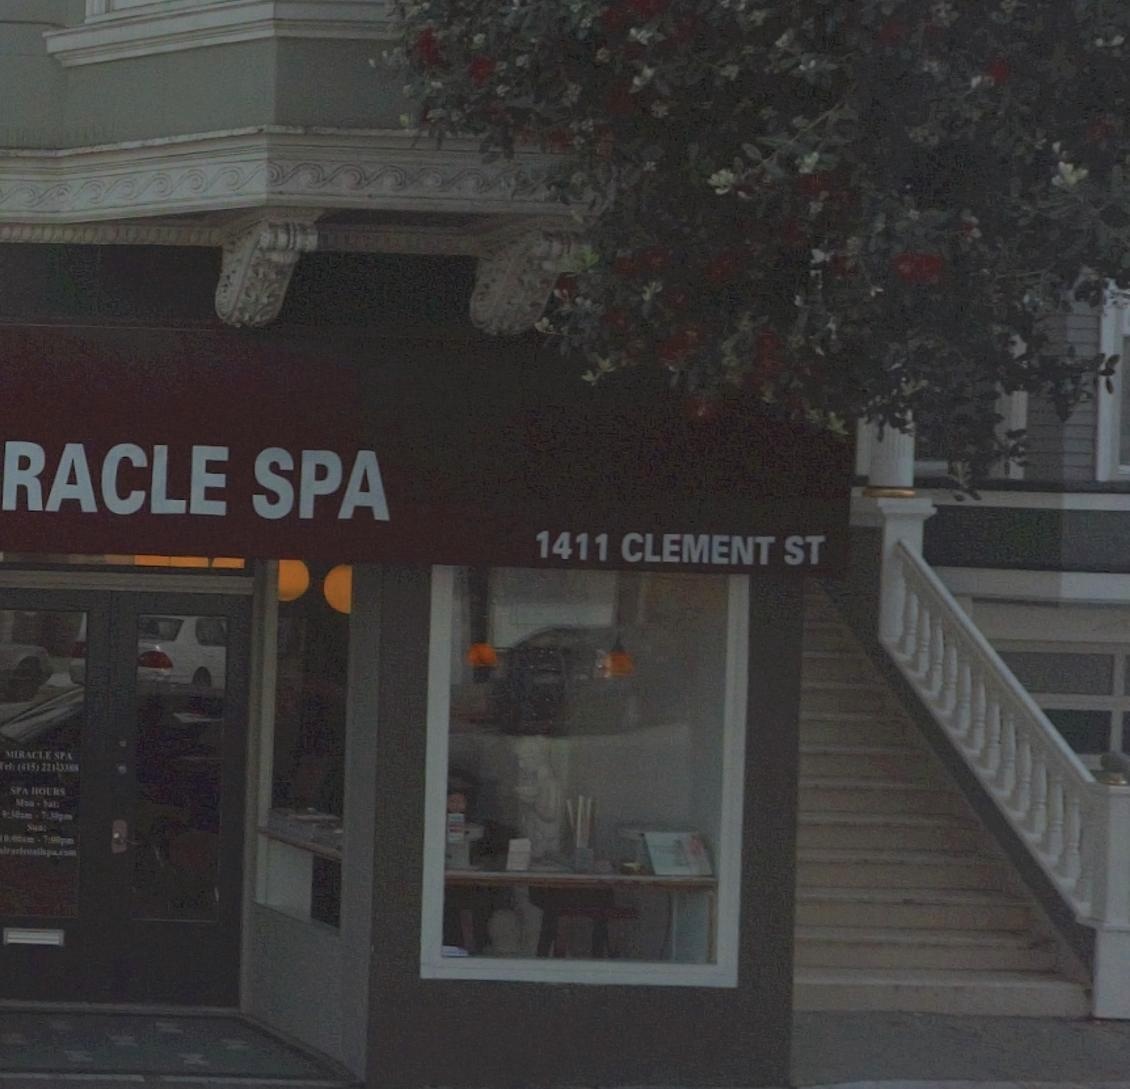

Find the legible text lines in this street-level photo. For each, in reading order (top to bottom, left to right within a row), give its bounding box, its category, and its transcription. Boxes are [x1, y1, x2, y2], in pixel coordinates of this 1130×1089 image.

[0, 439, 392, 524] BusinessName: RACLE SPA
[533, 527, 610, 562] StreetNumber: 1411
[619, 530, 828, 568] StreetName: CLEMENT ST
[3, 750, 74, 761] BusinessName: MIRACLE SPA
[15, 761, 70, 774] None: (415) 221**33
[7, 785, 66, 797] None: SPA HOURS
[41, 834, 49, 848] None: 7